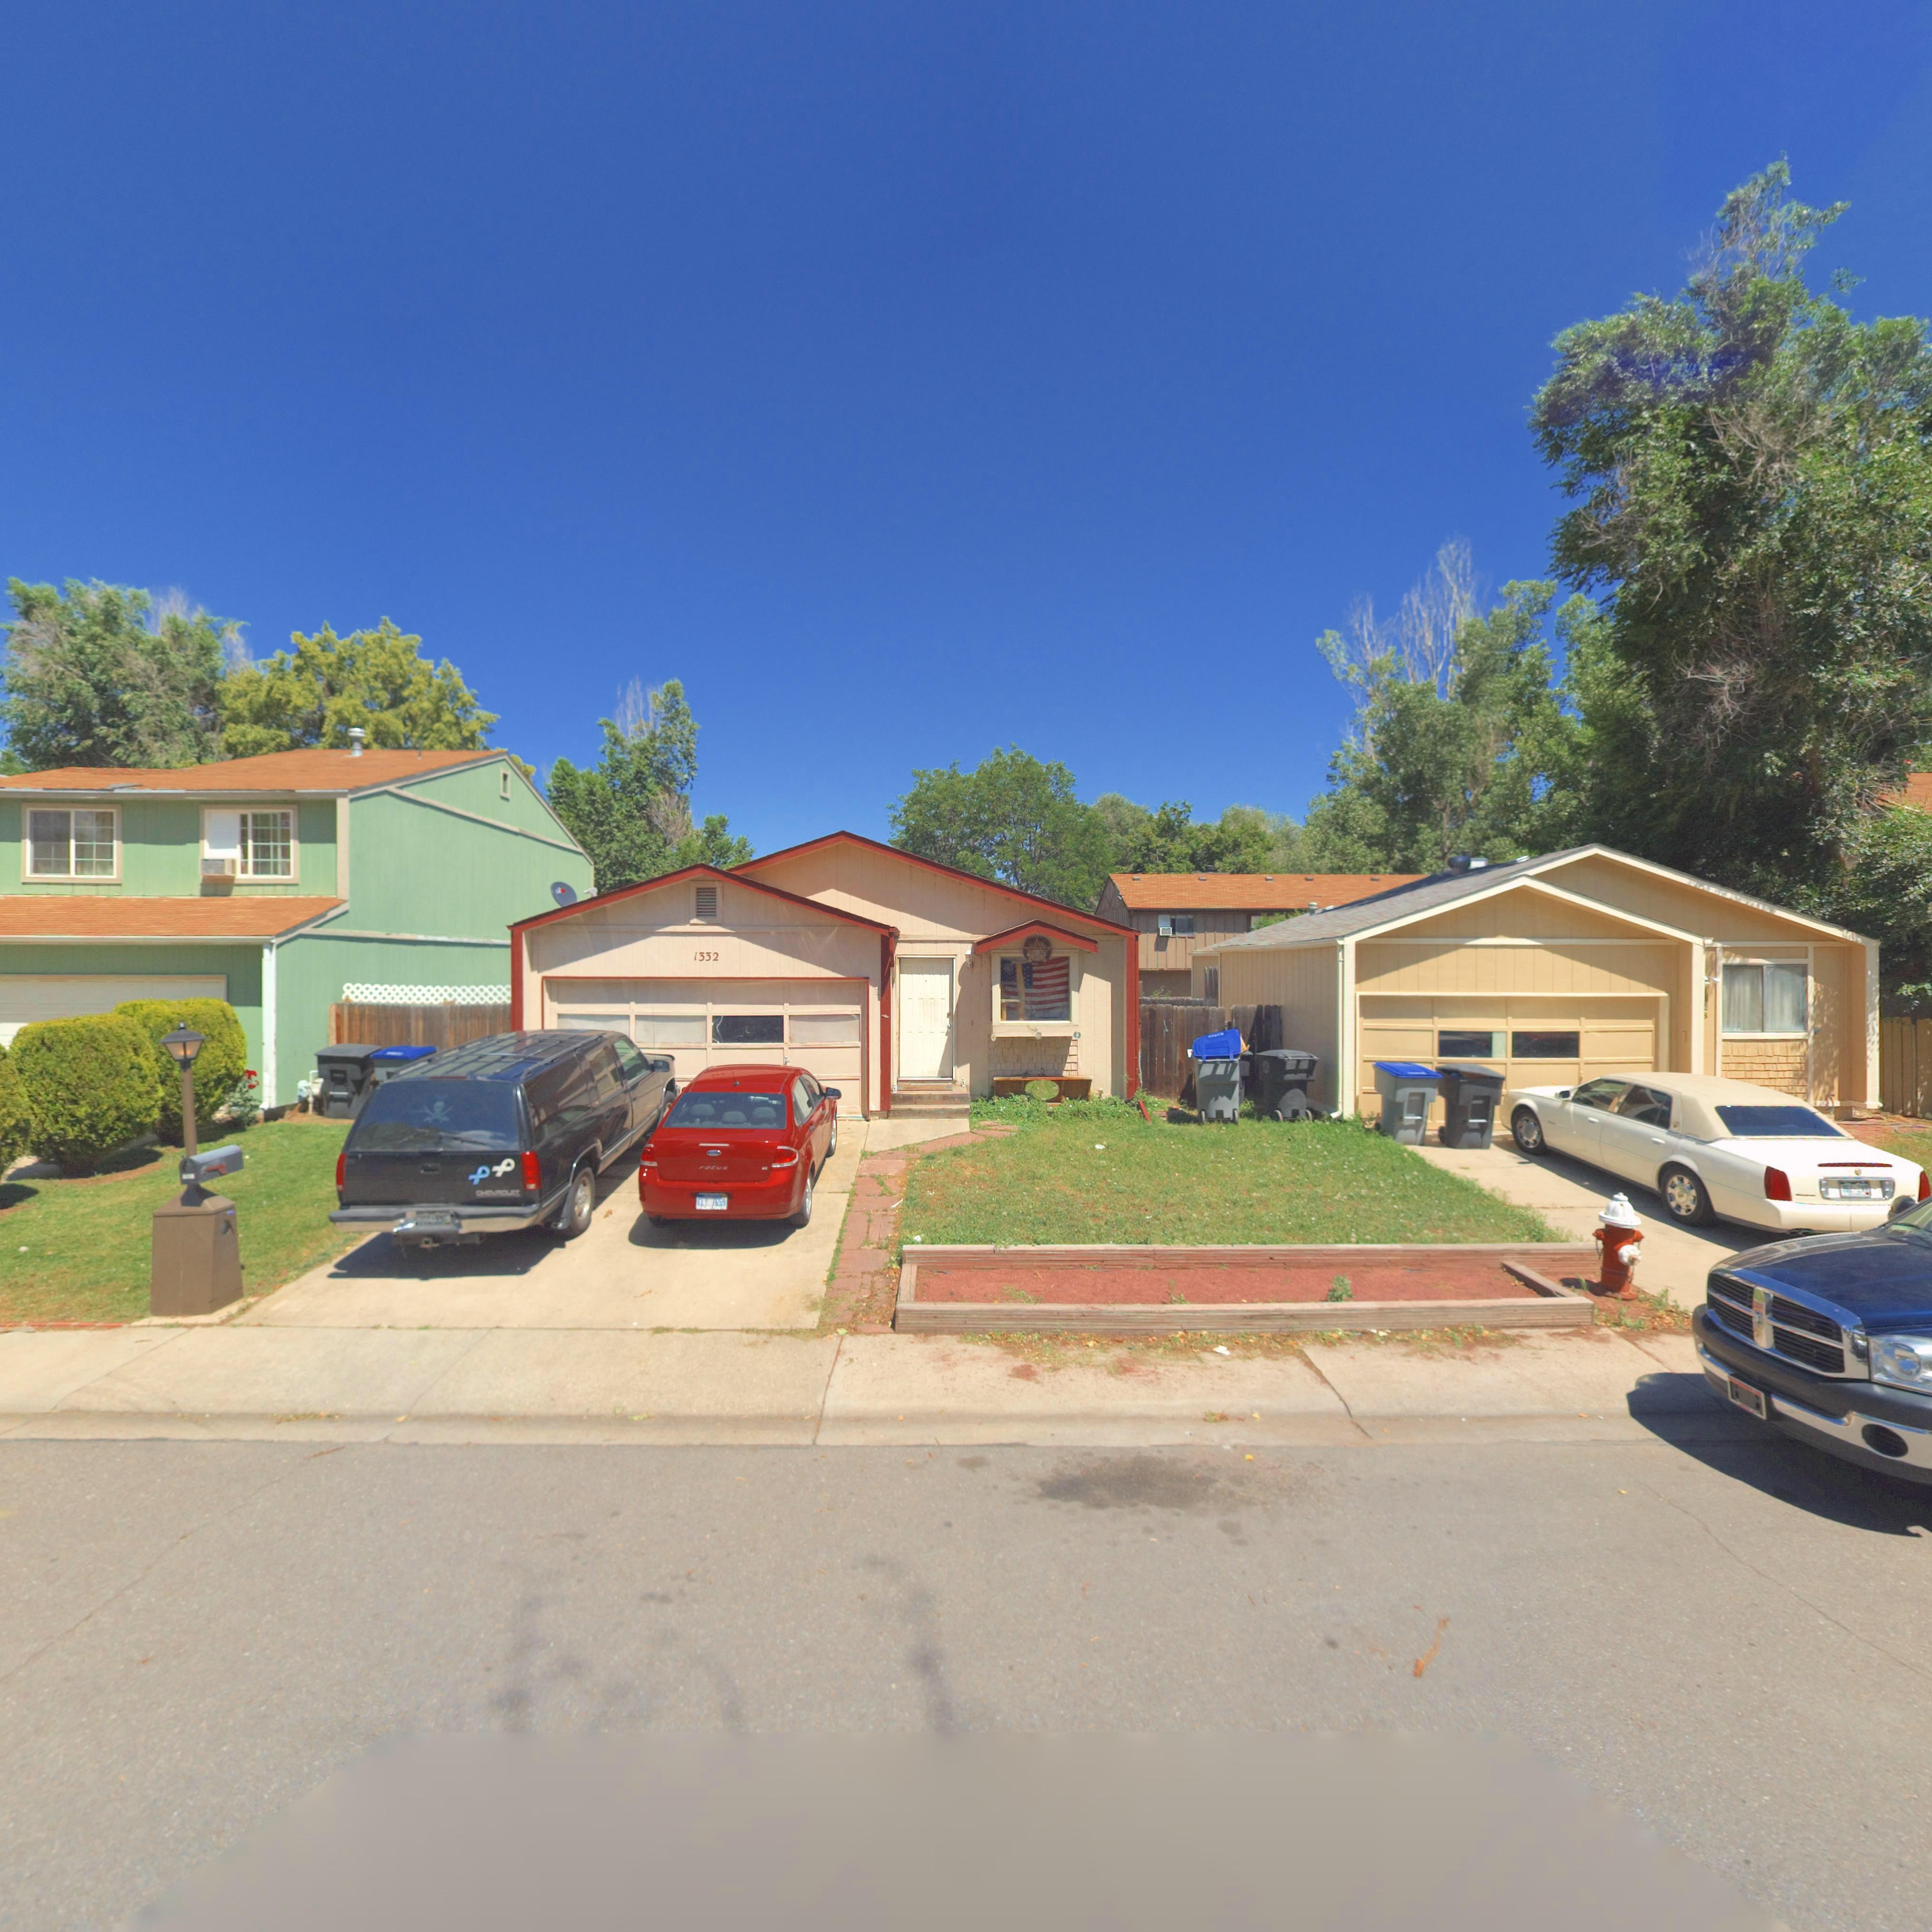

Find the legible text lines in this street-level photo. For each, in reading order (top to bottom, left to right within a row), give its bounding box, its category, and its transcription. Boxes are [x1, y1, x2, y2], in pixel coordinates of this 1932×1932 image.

[693, 951, 719, 961] StreetNumber: 1332
[1703, 1003, 1708, 1019] StreetNumber: 2*